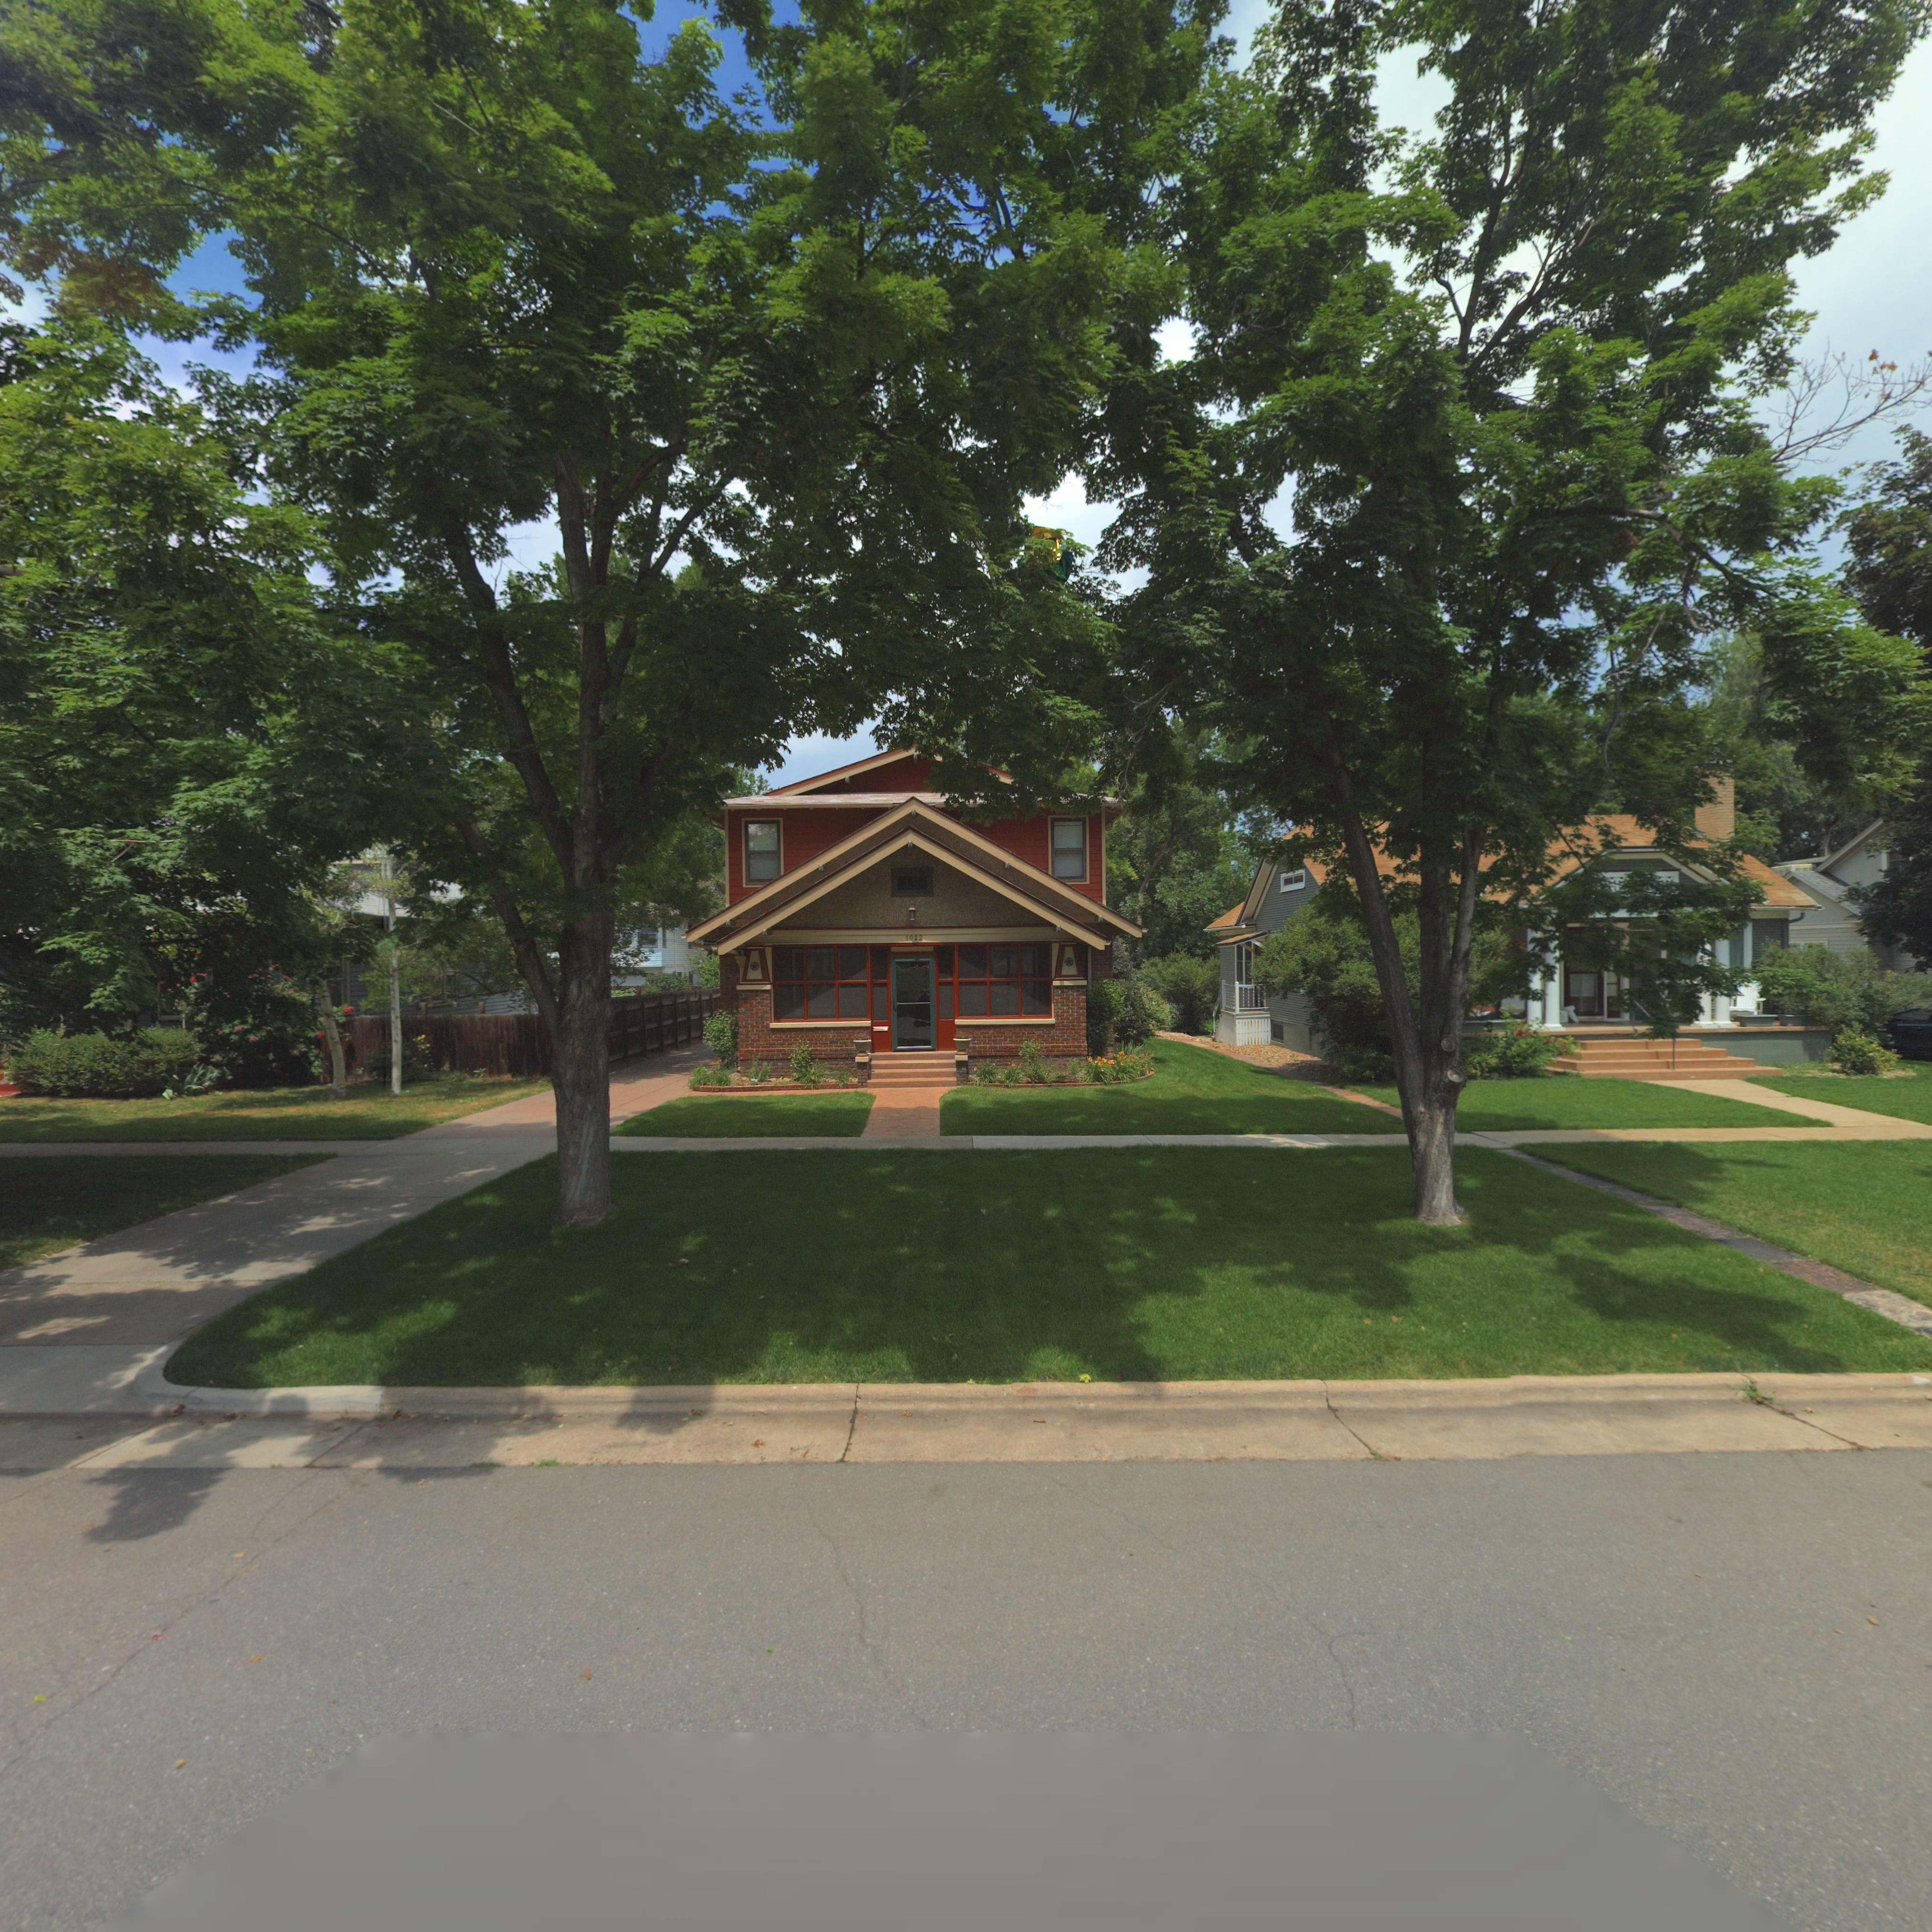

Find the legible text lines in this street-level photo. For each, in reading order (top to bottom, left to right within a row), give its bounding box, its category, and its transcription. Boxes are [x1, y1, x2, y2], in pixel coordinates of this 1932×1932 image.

[905, 934, 922, 940] StreetNumber: 1022